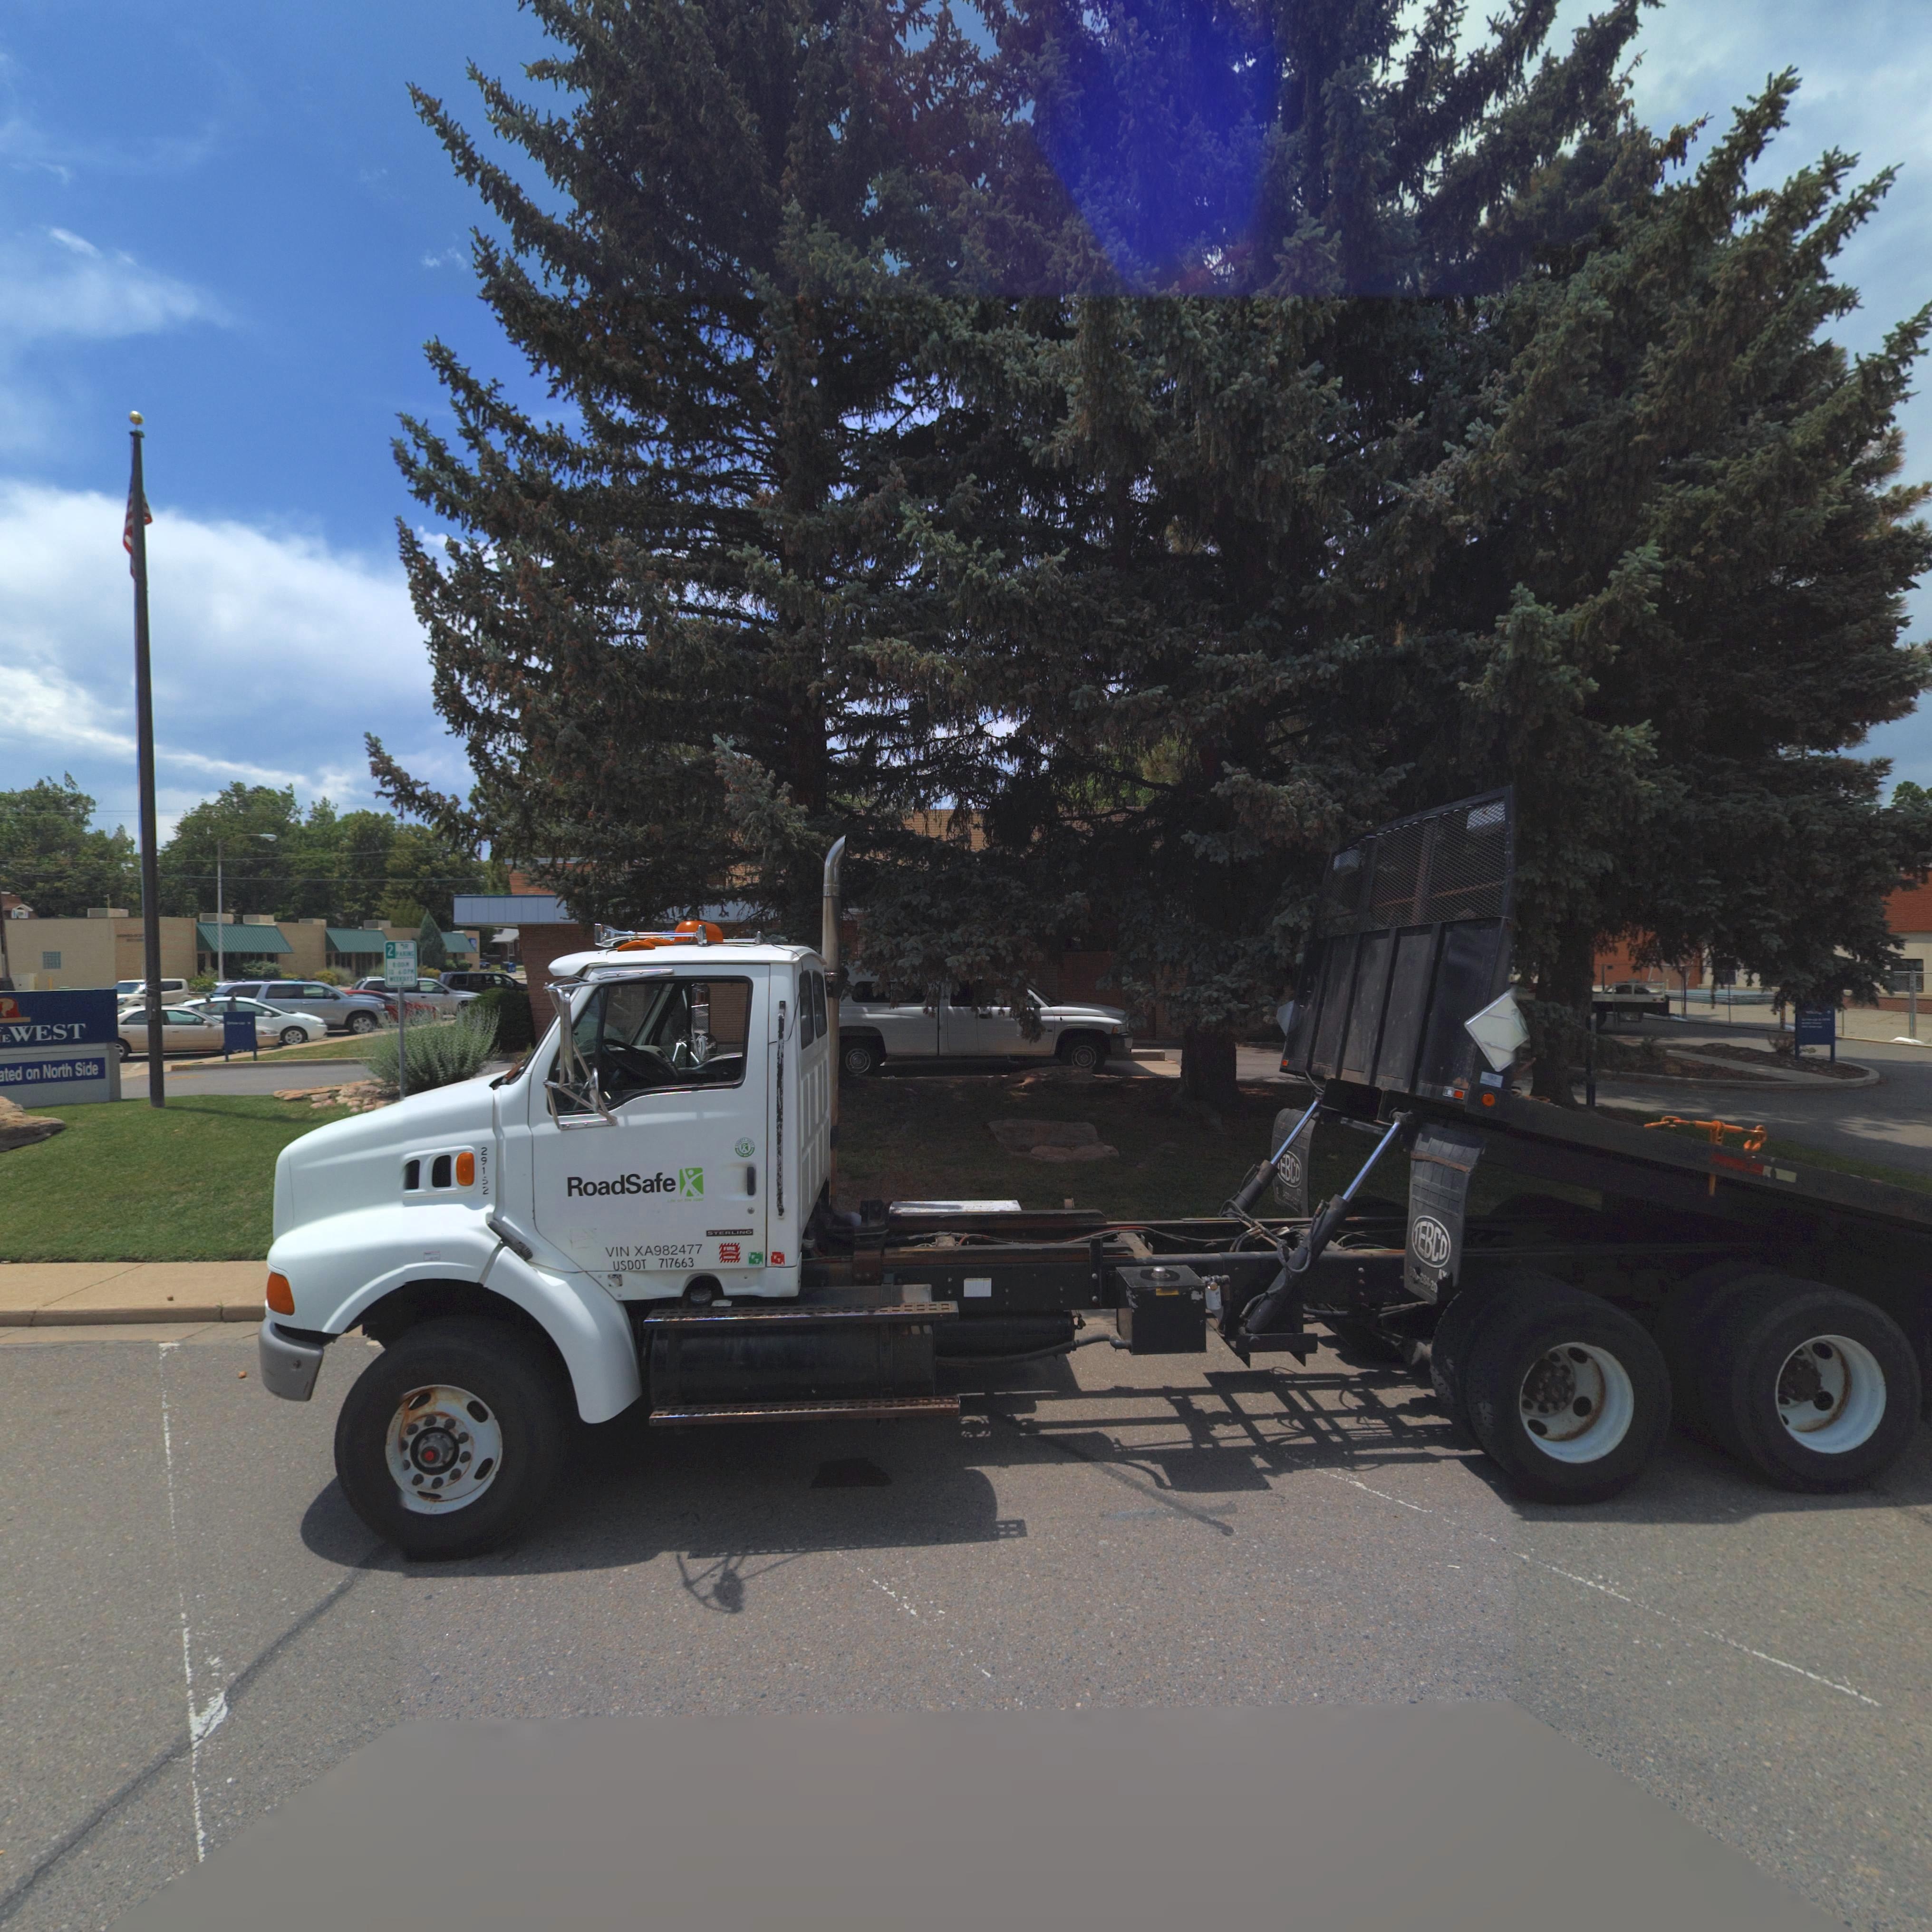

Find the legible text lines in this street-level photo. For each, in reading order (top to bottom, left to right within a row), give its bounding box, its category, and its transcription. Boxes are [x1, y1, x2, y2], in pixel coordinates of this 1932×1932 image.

[1, 1034, 11, 1043] BusinessName: E
[7, 1023, 87, 1042] BusinessName: WEST